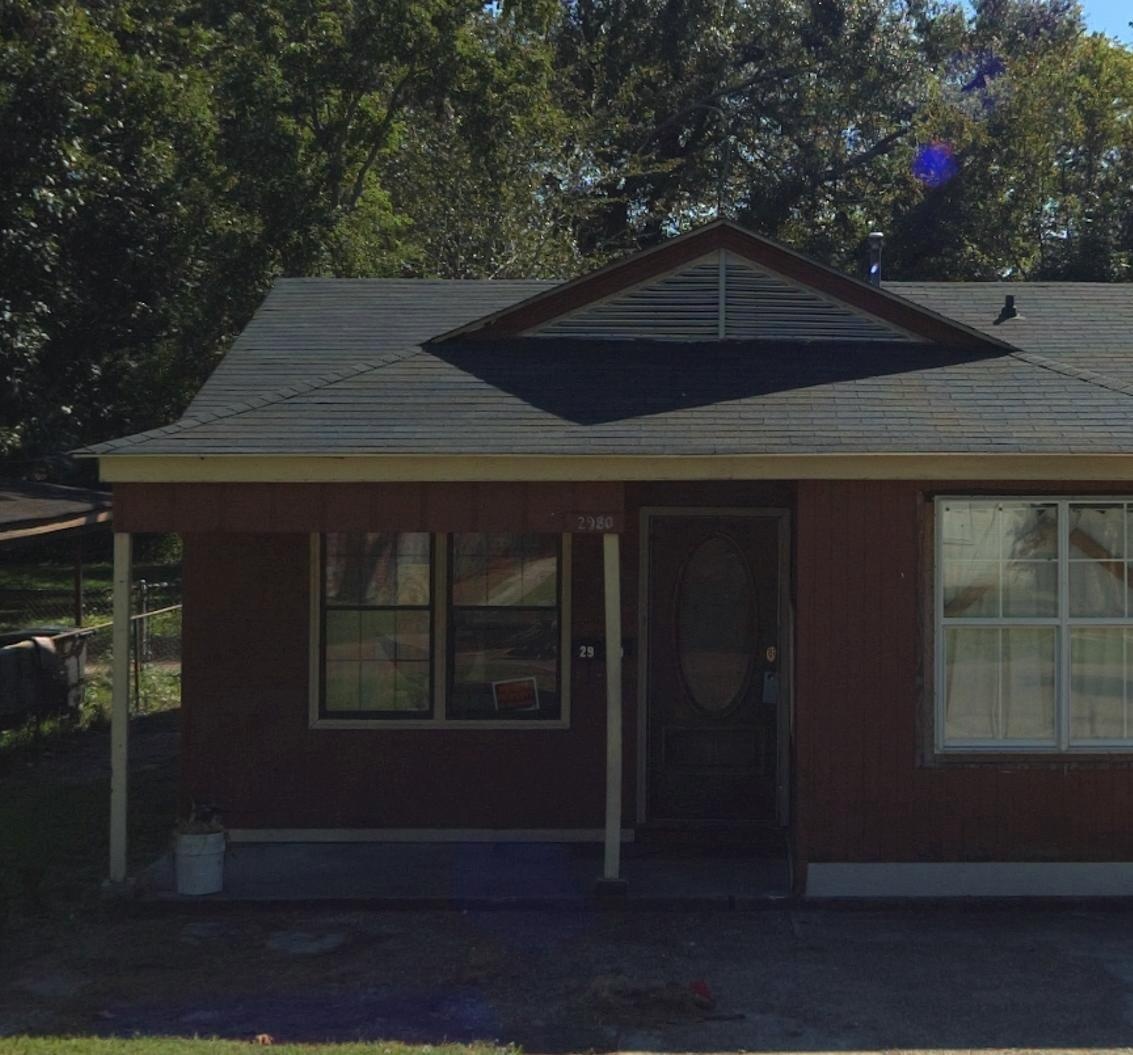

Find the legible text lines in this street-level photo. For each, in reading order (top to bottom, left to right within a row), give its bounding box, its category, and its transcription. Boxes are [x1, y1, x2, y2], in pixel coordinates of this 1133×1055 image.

[576, 515, 614, 531] StreetNumber: 2980
[579, 644, 596, 659] StreetNumber: 29